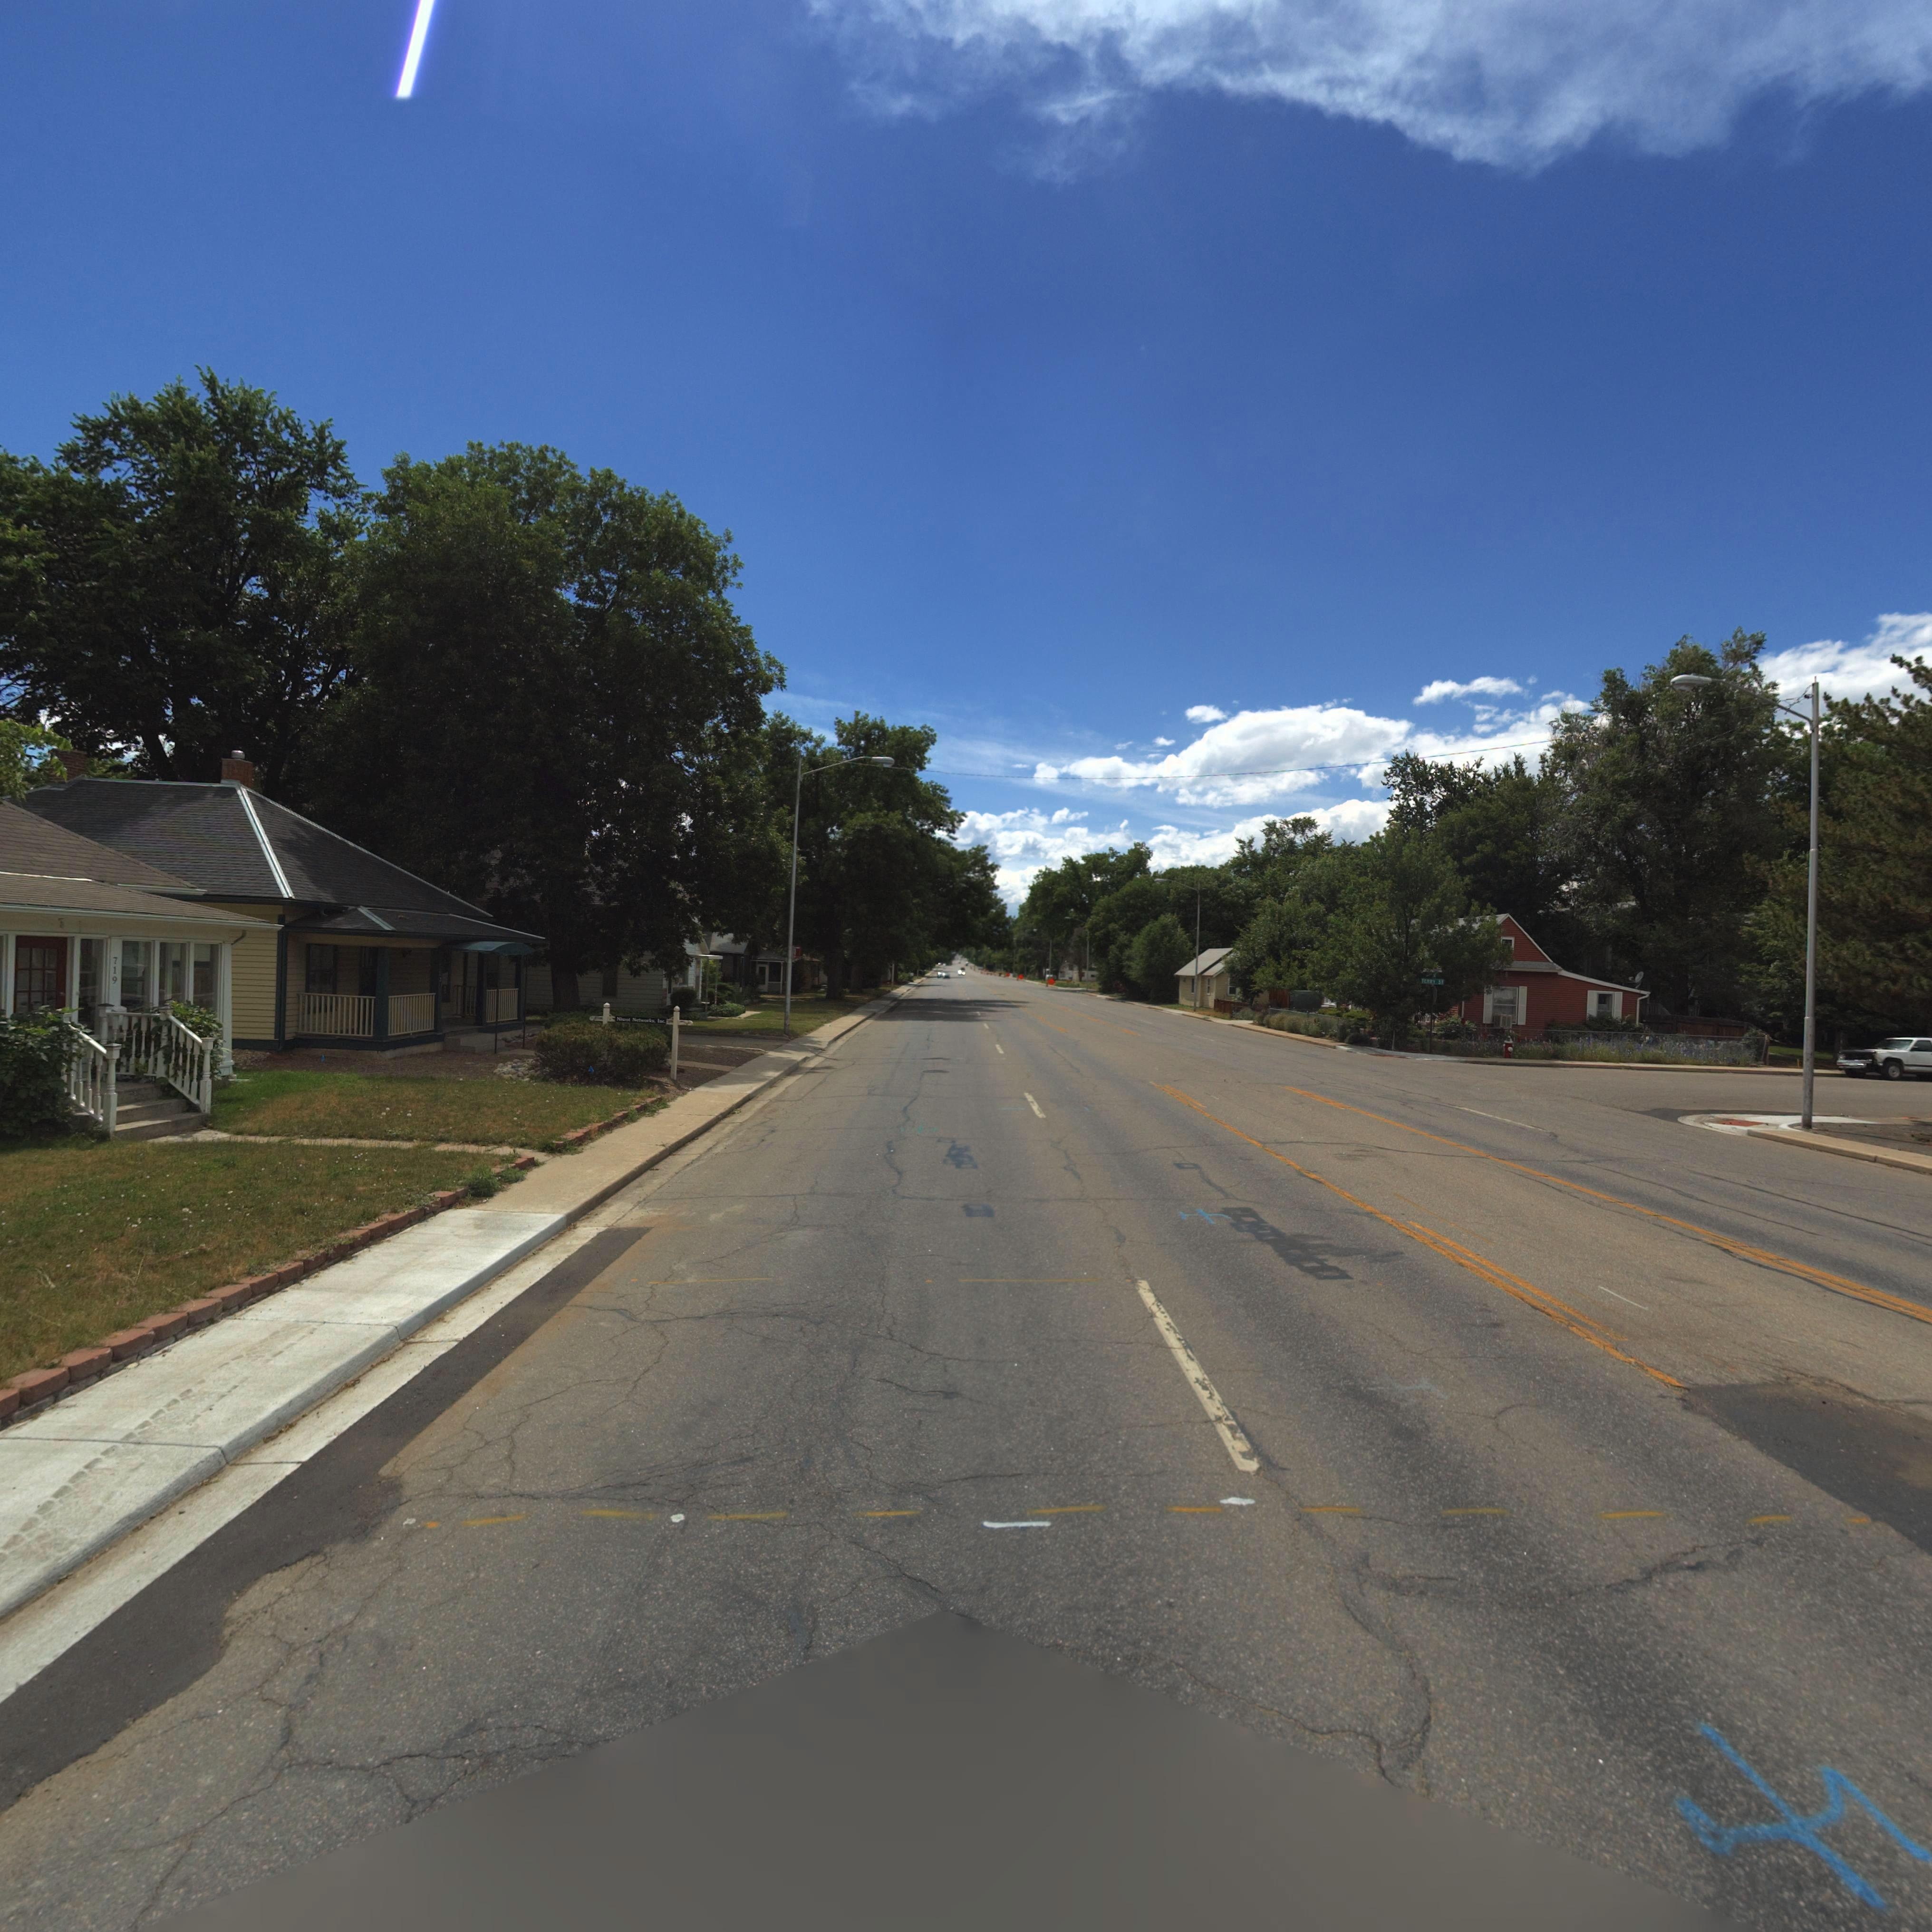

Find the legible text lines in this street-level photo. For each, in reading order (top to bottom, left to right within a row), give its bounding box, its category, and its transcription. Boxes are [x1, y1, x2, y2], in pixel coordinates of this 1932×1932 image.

[113, 957, 117, 984] StreetNumber: 719
[1421, 978, 1443, 984] StreetName: TERRY ST
[617, 1017, 666, 1023] BusinessName: Niwot Networks, Inc.